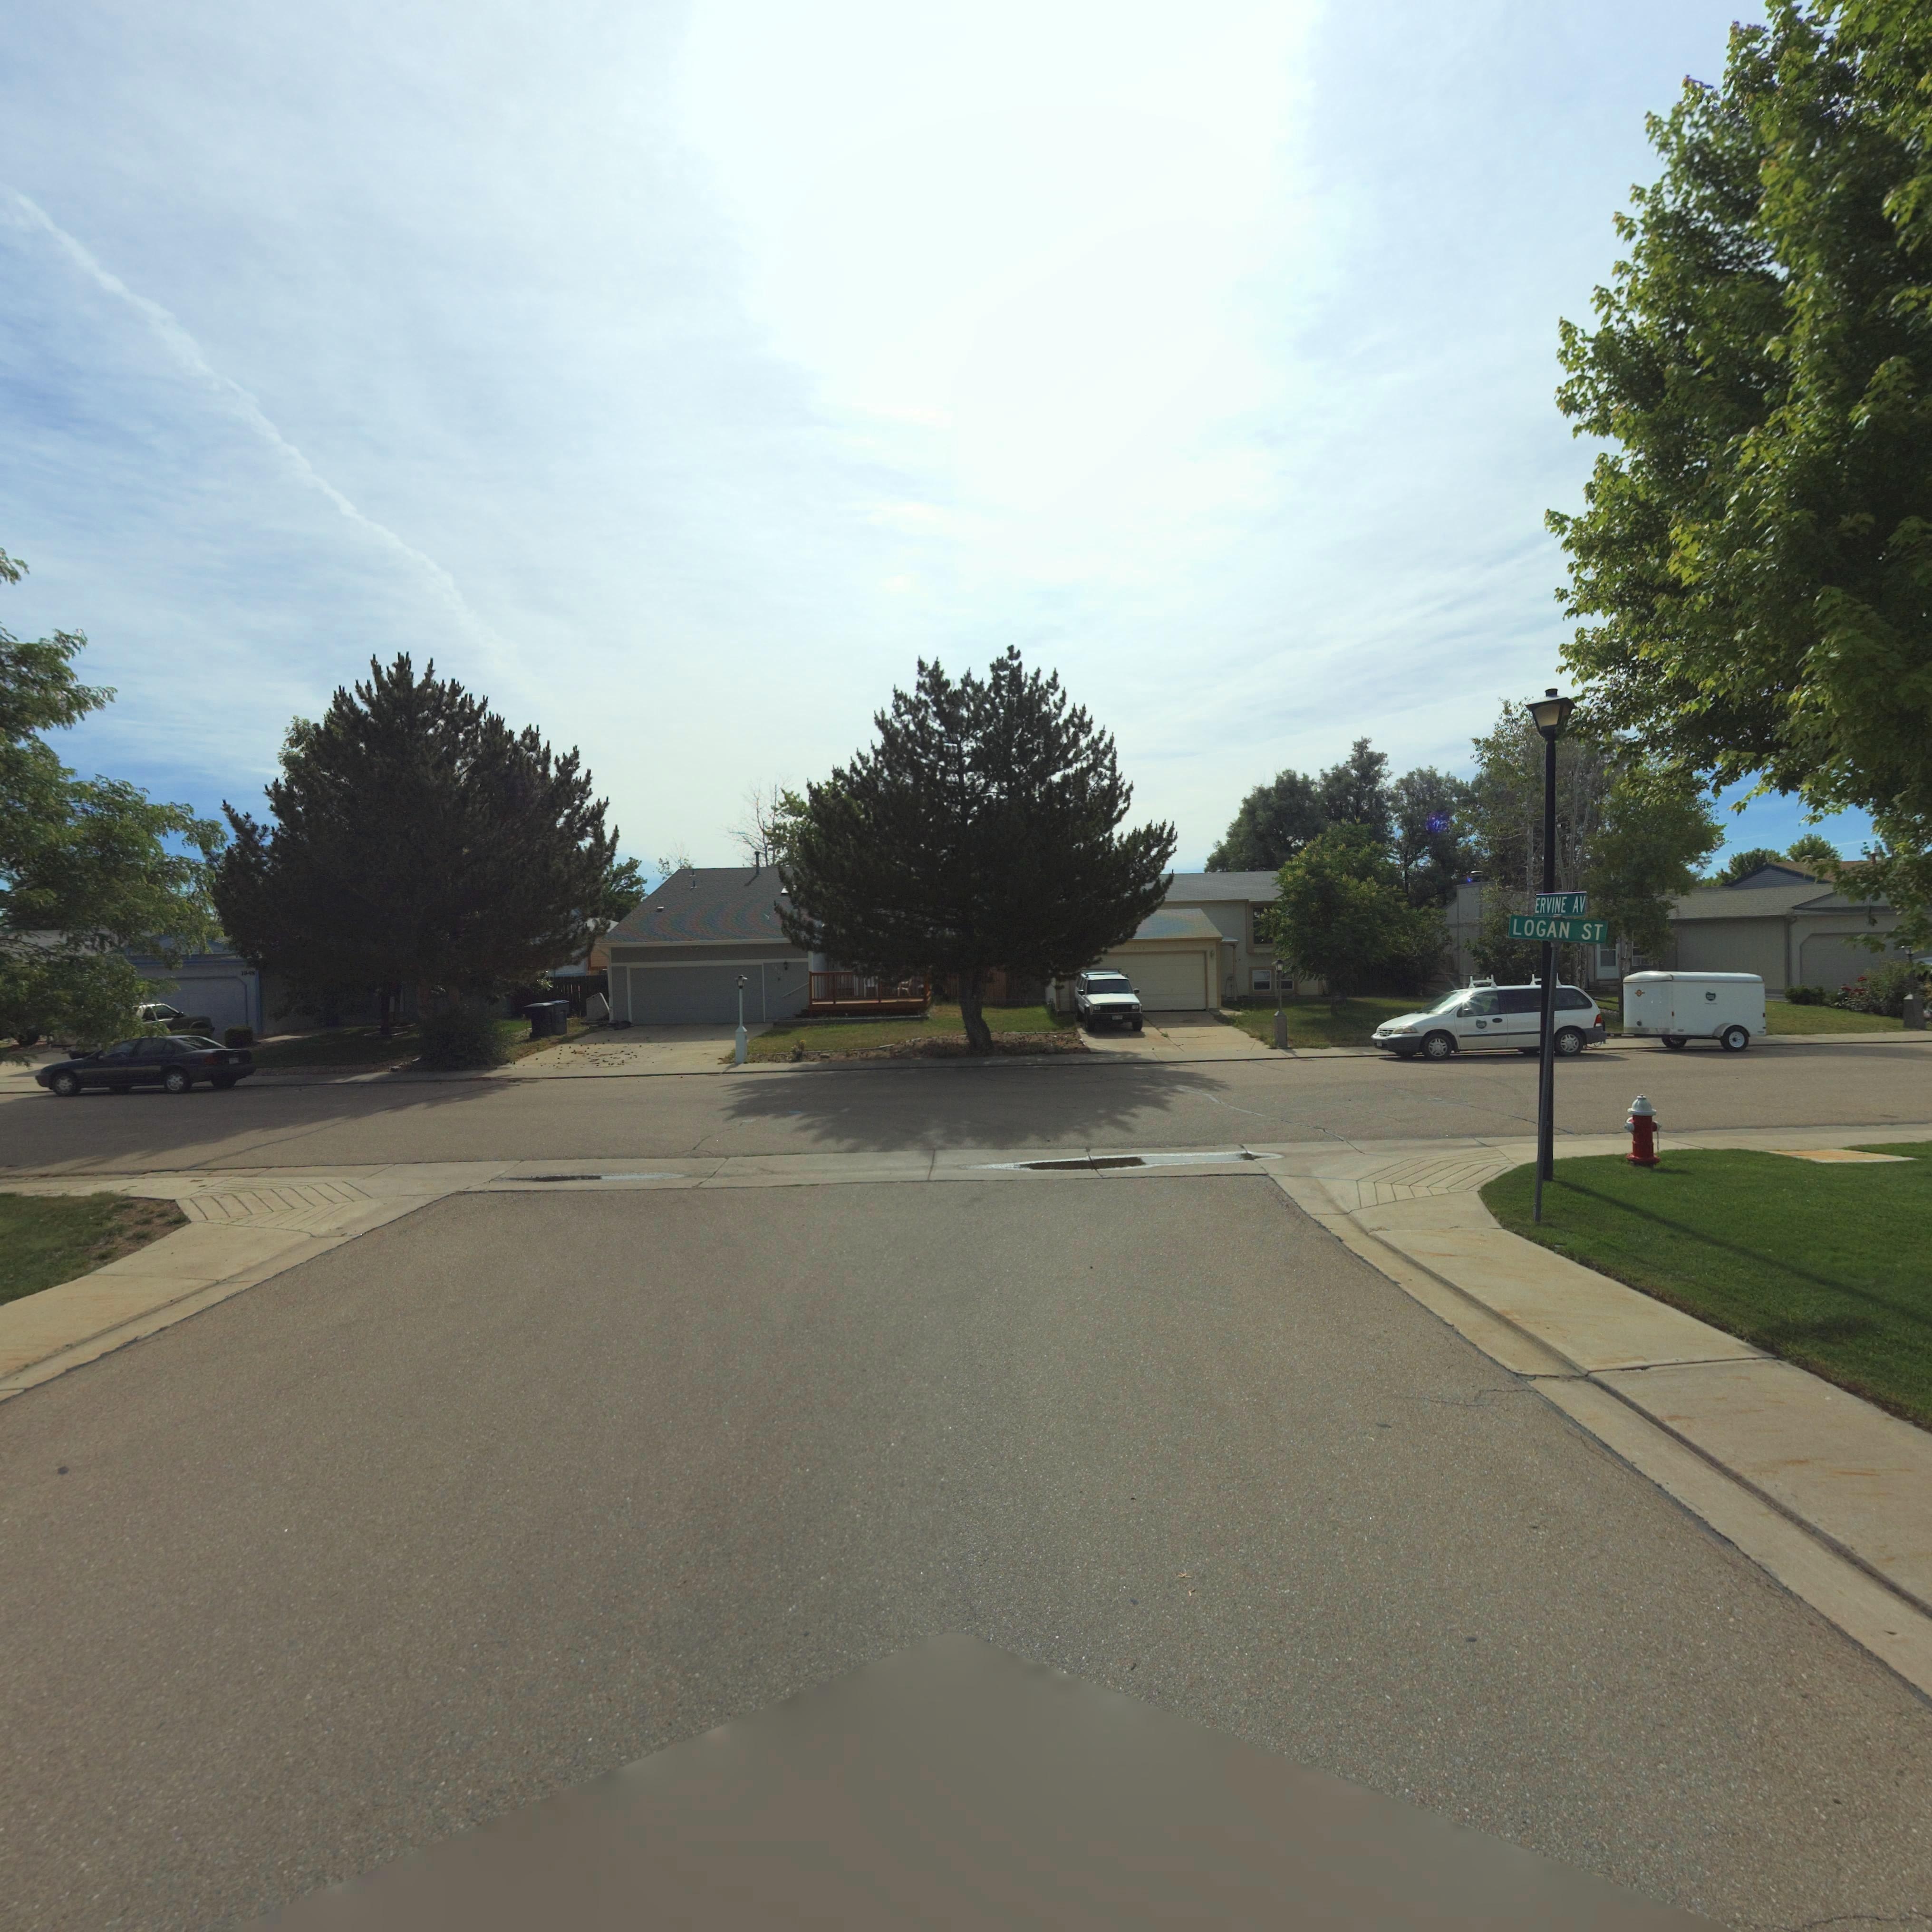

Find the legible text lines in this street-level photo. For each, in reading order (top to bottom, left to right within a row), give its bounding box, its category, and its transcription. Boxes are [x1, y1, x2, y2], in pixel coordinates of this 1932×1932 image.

[1534, 895, 1586, 913] StreetName: ERVINE AV
[1512, 918, 1604, 941] StreetName: LOGAN ST
[241, 970, 255, 976] StreetNumber: 1848
[771, 964, 783, 976] StreetNumber: 184*